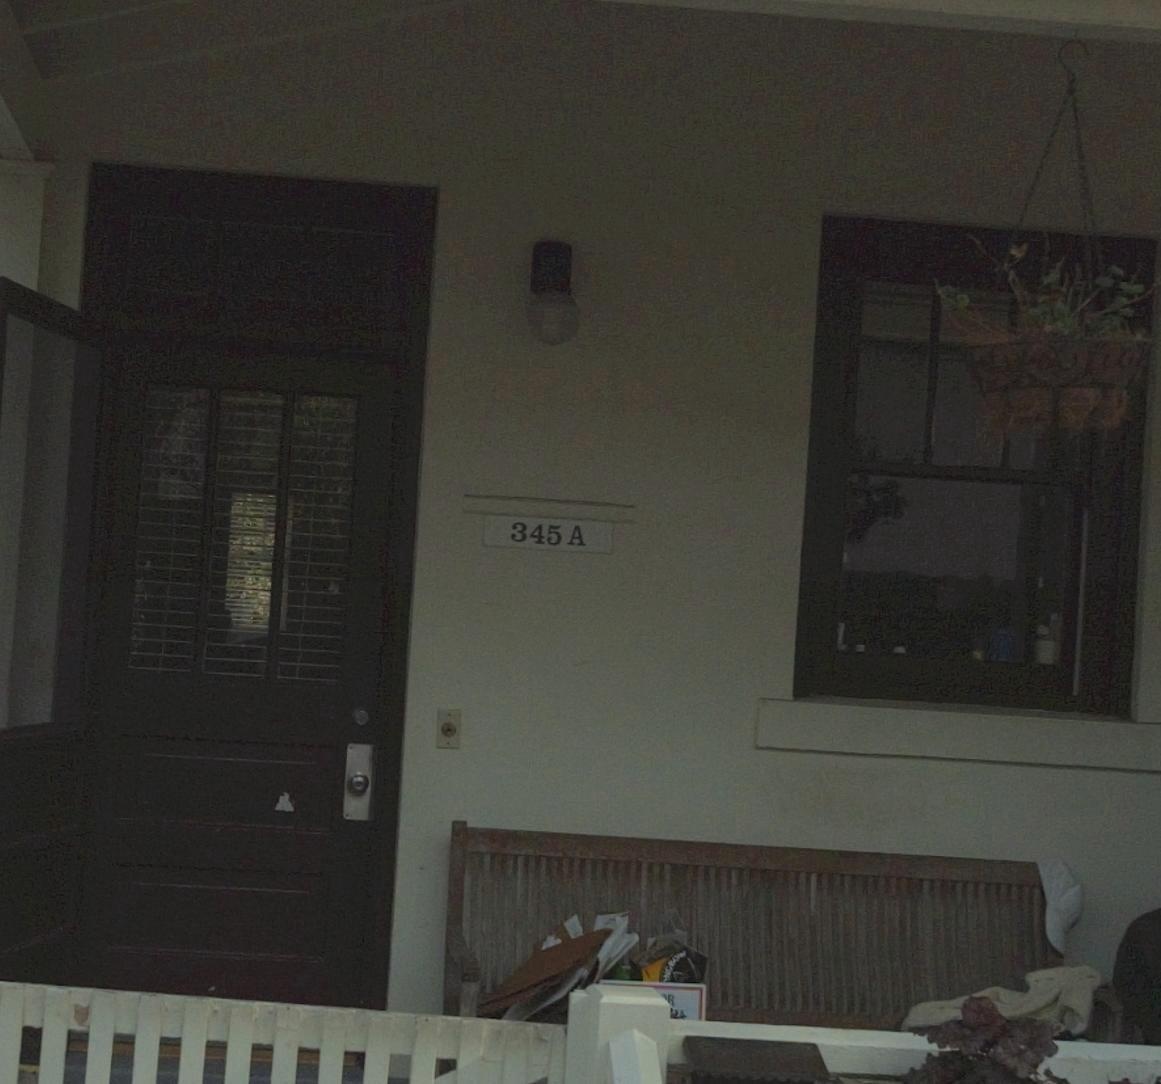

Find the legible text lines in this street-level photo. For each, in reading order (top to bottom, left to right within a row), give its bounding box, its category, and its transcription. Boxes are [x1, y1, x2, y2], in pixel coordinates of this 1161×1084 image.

[509, 521, 588, 549] StreetNumber: 345A